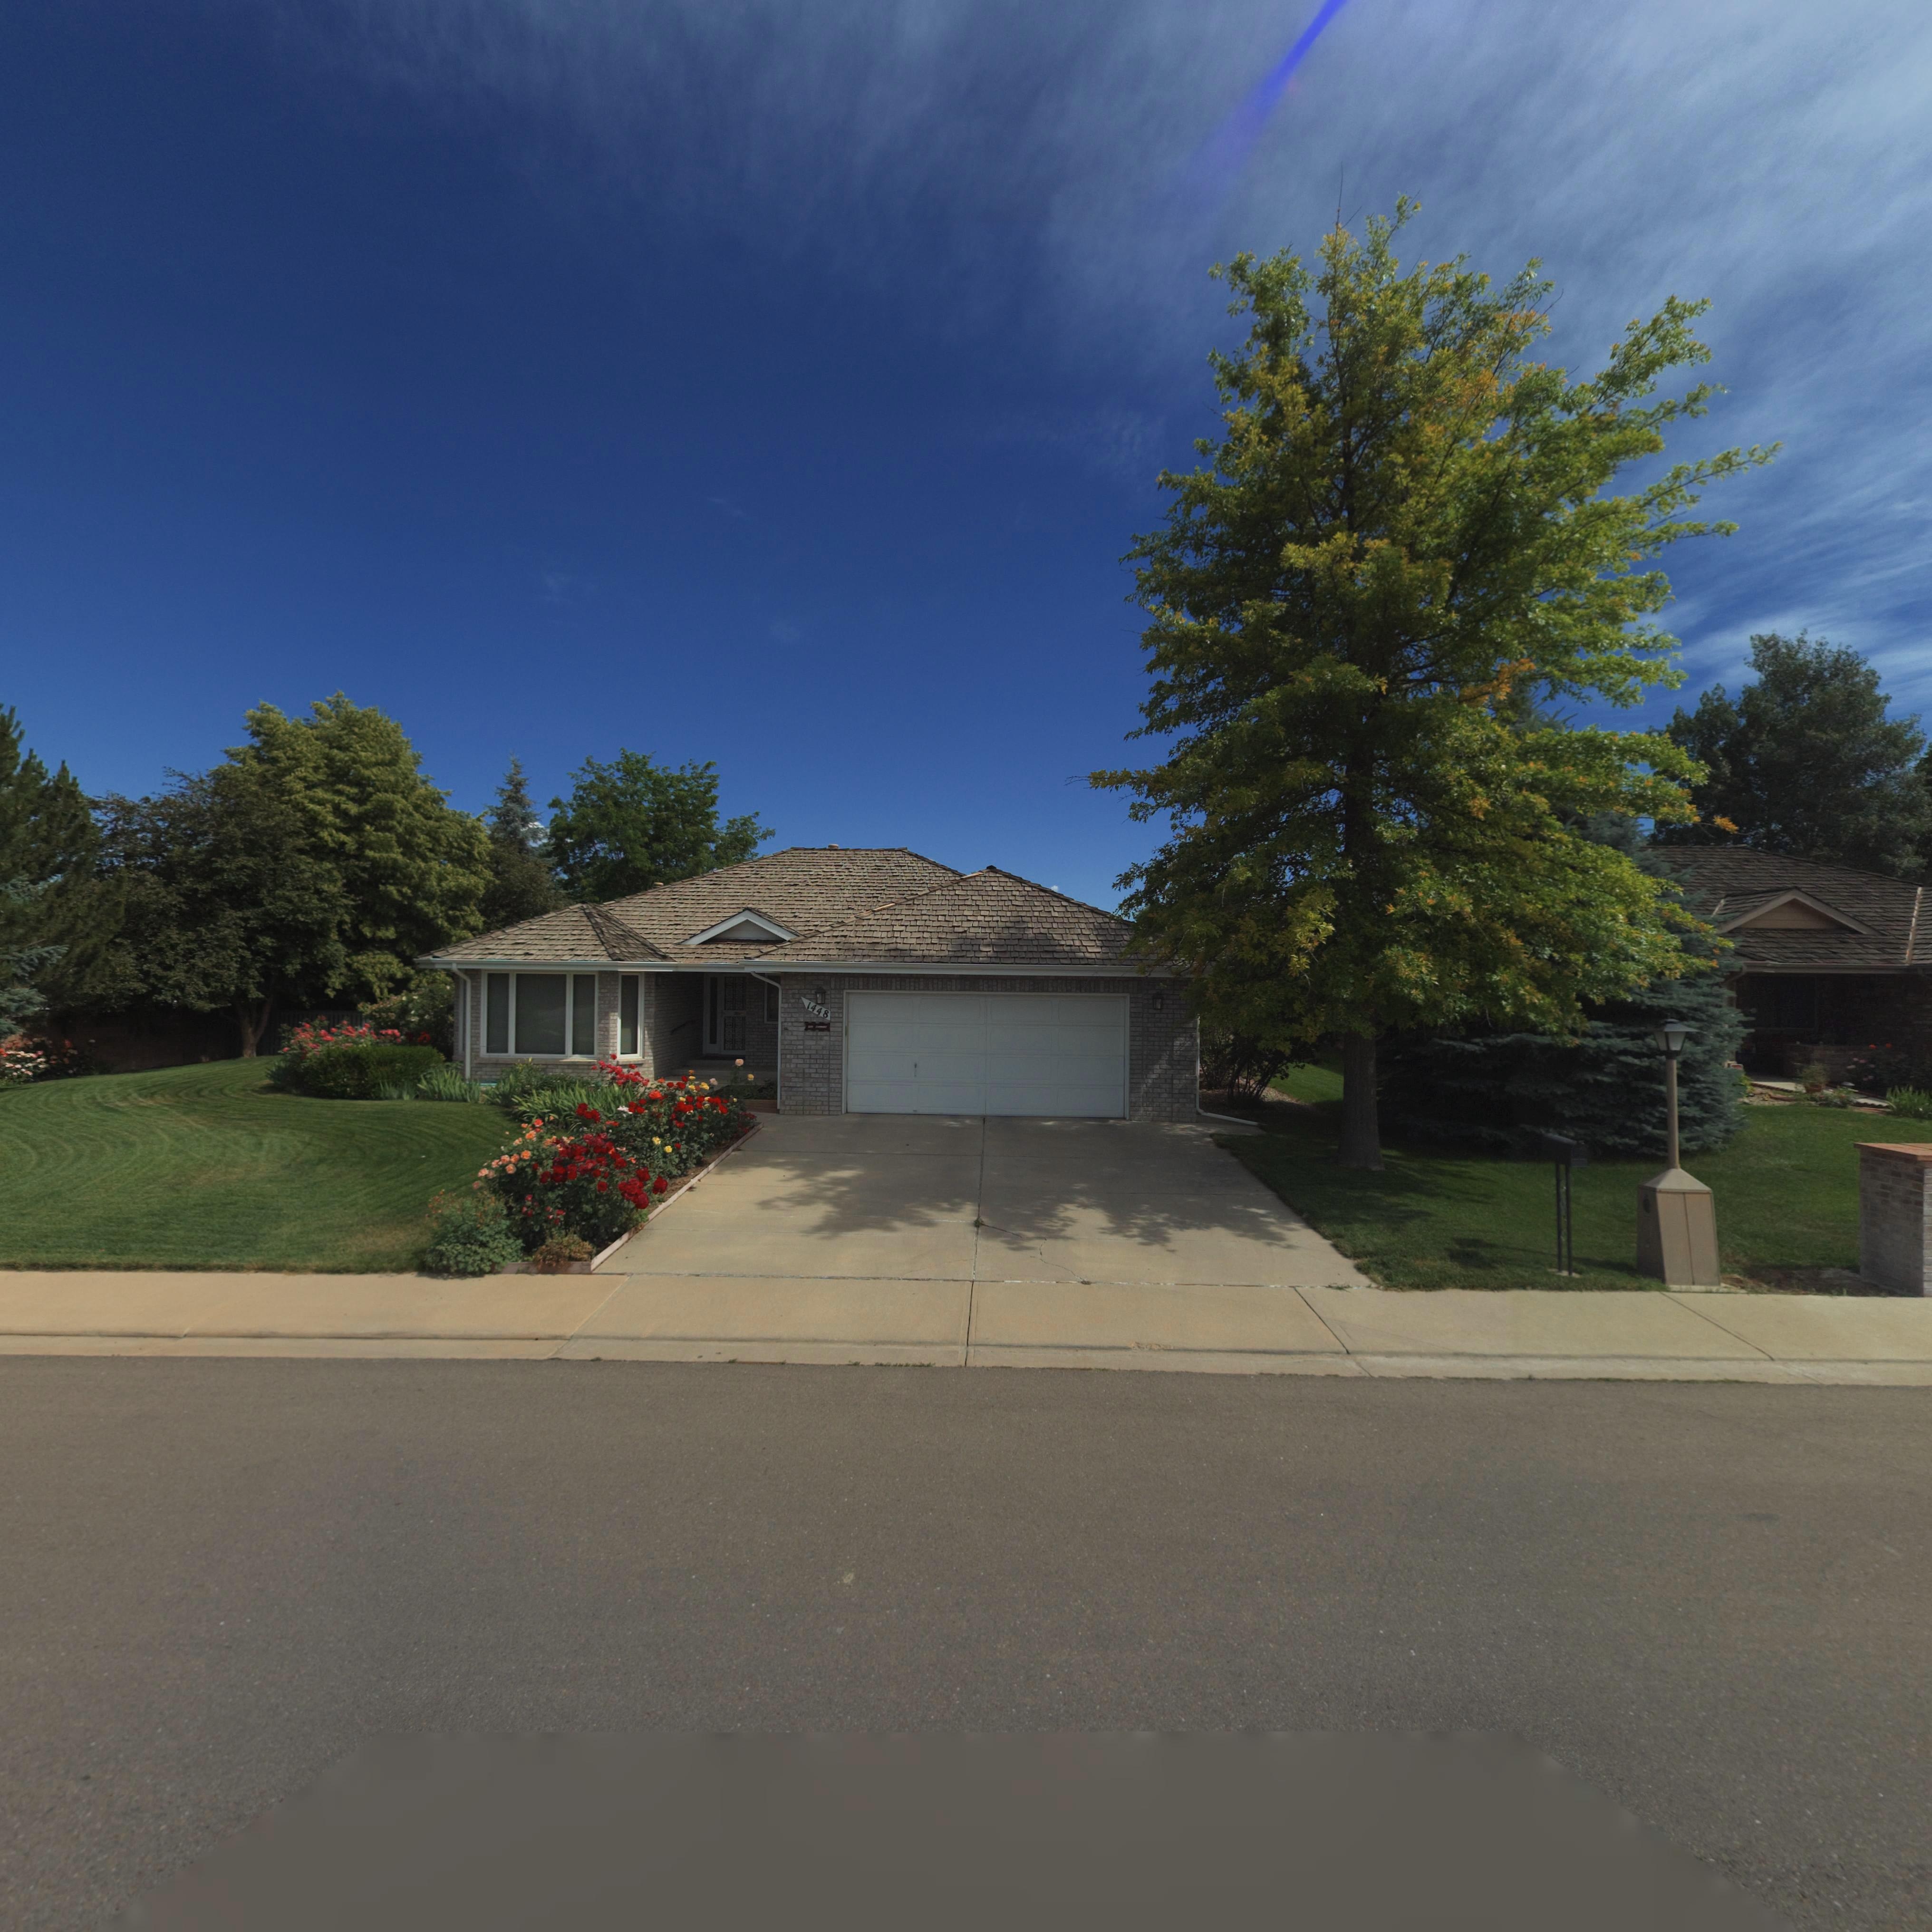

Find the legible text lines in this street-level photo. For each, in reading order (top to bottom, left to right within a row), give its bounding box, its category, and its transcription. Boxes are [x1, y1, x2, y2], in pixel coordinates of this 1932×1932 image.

[806, 1001, 829, 1018] StreetNumber: 1448